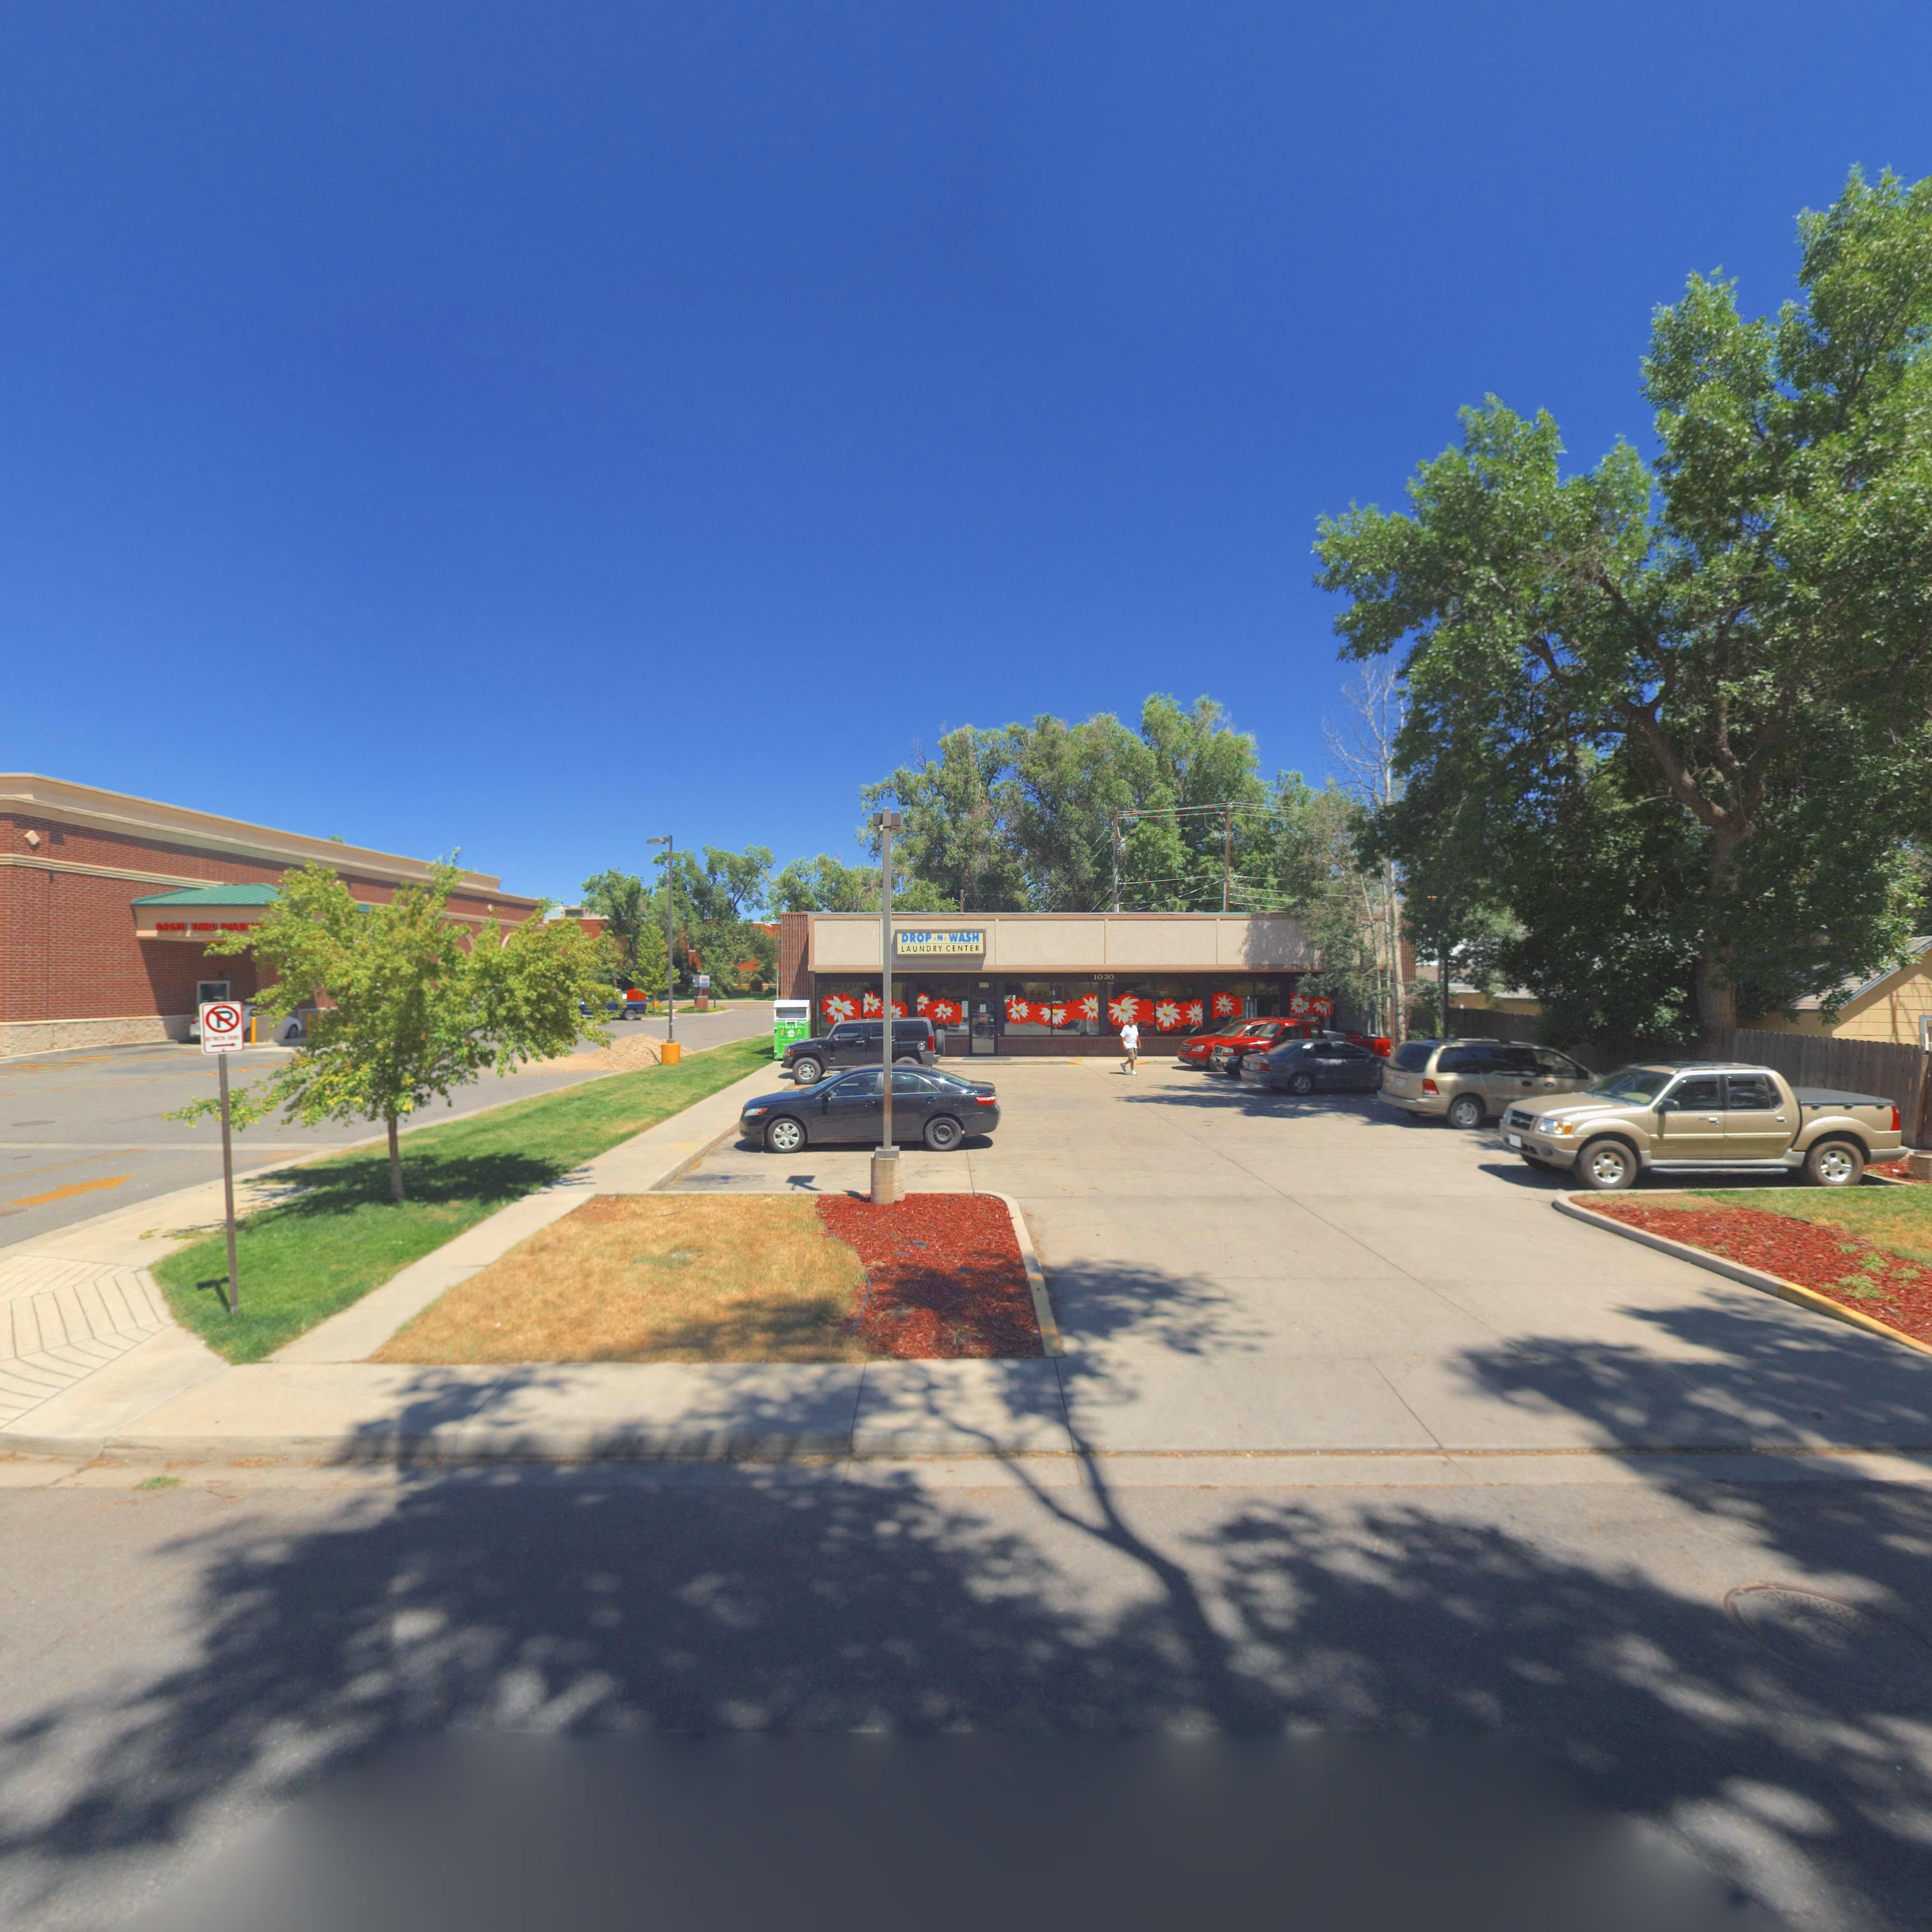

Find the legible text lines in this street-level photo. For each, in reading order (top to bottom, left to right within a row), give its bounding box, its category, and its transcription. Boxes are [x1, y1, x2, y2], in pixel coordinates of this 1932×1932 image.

[901, 932, 979, 943] BusinessName: DROP *N* WASH
[901, 944, 979, 952] BusinessName: LAUNDRY CENTER
[1093, 974, 1114, 980] StreetNumber: 1030